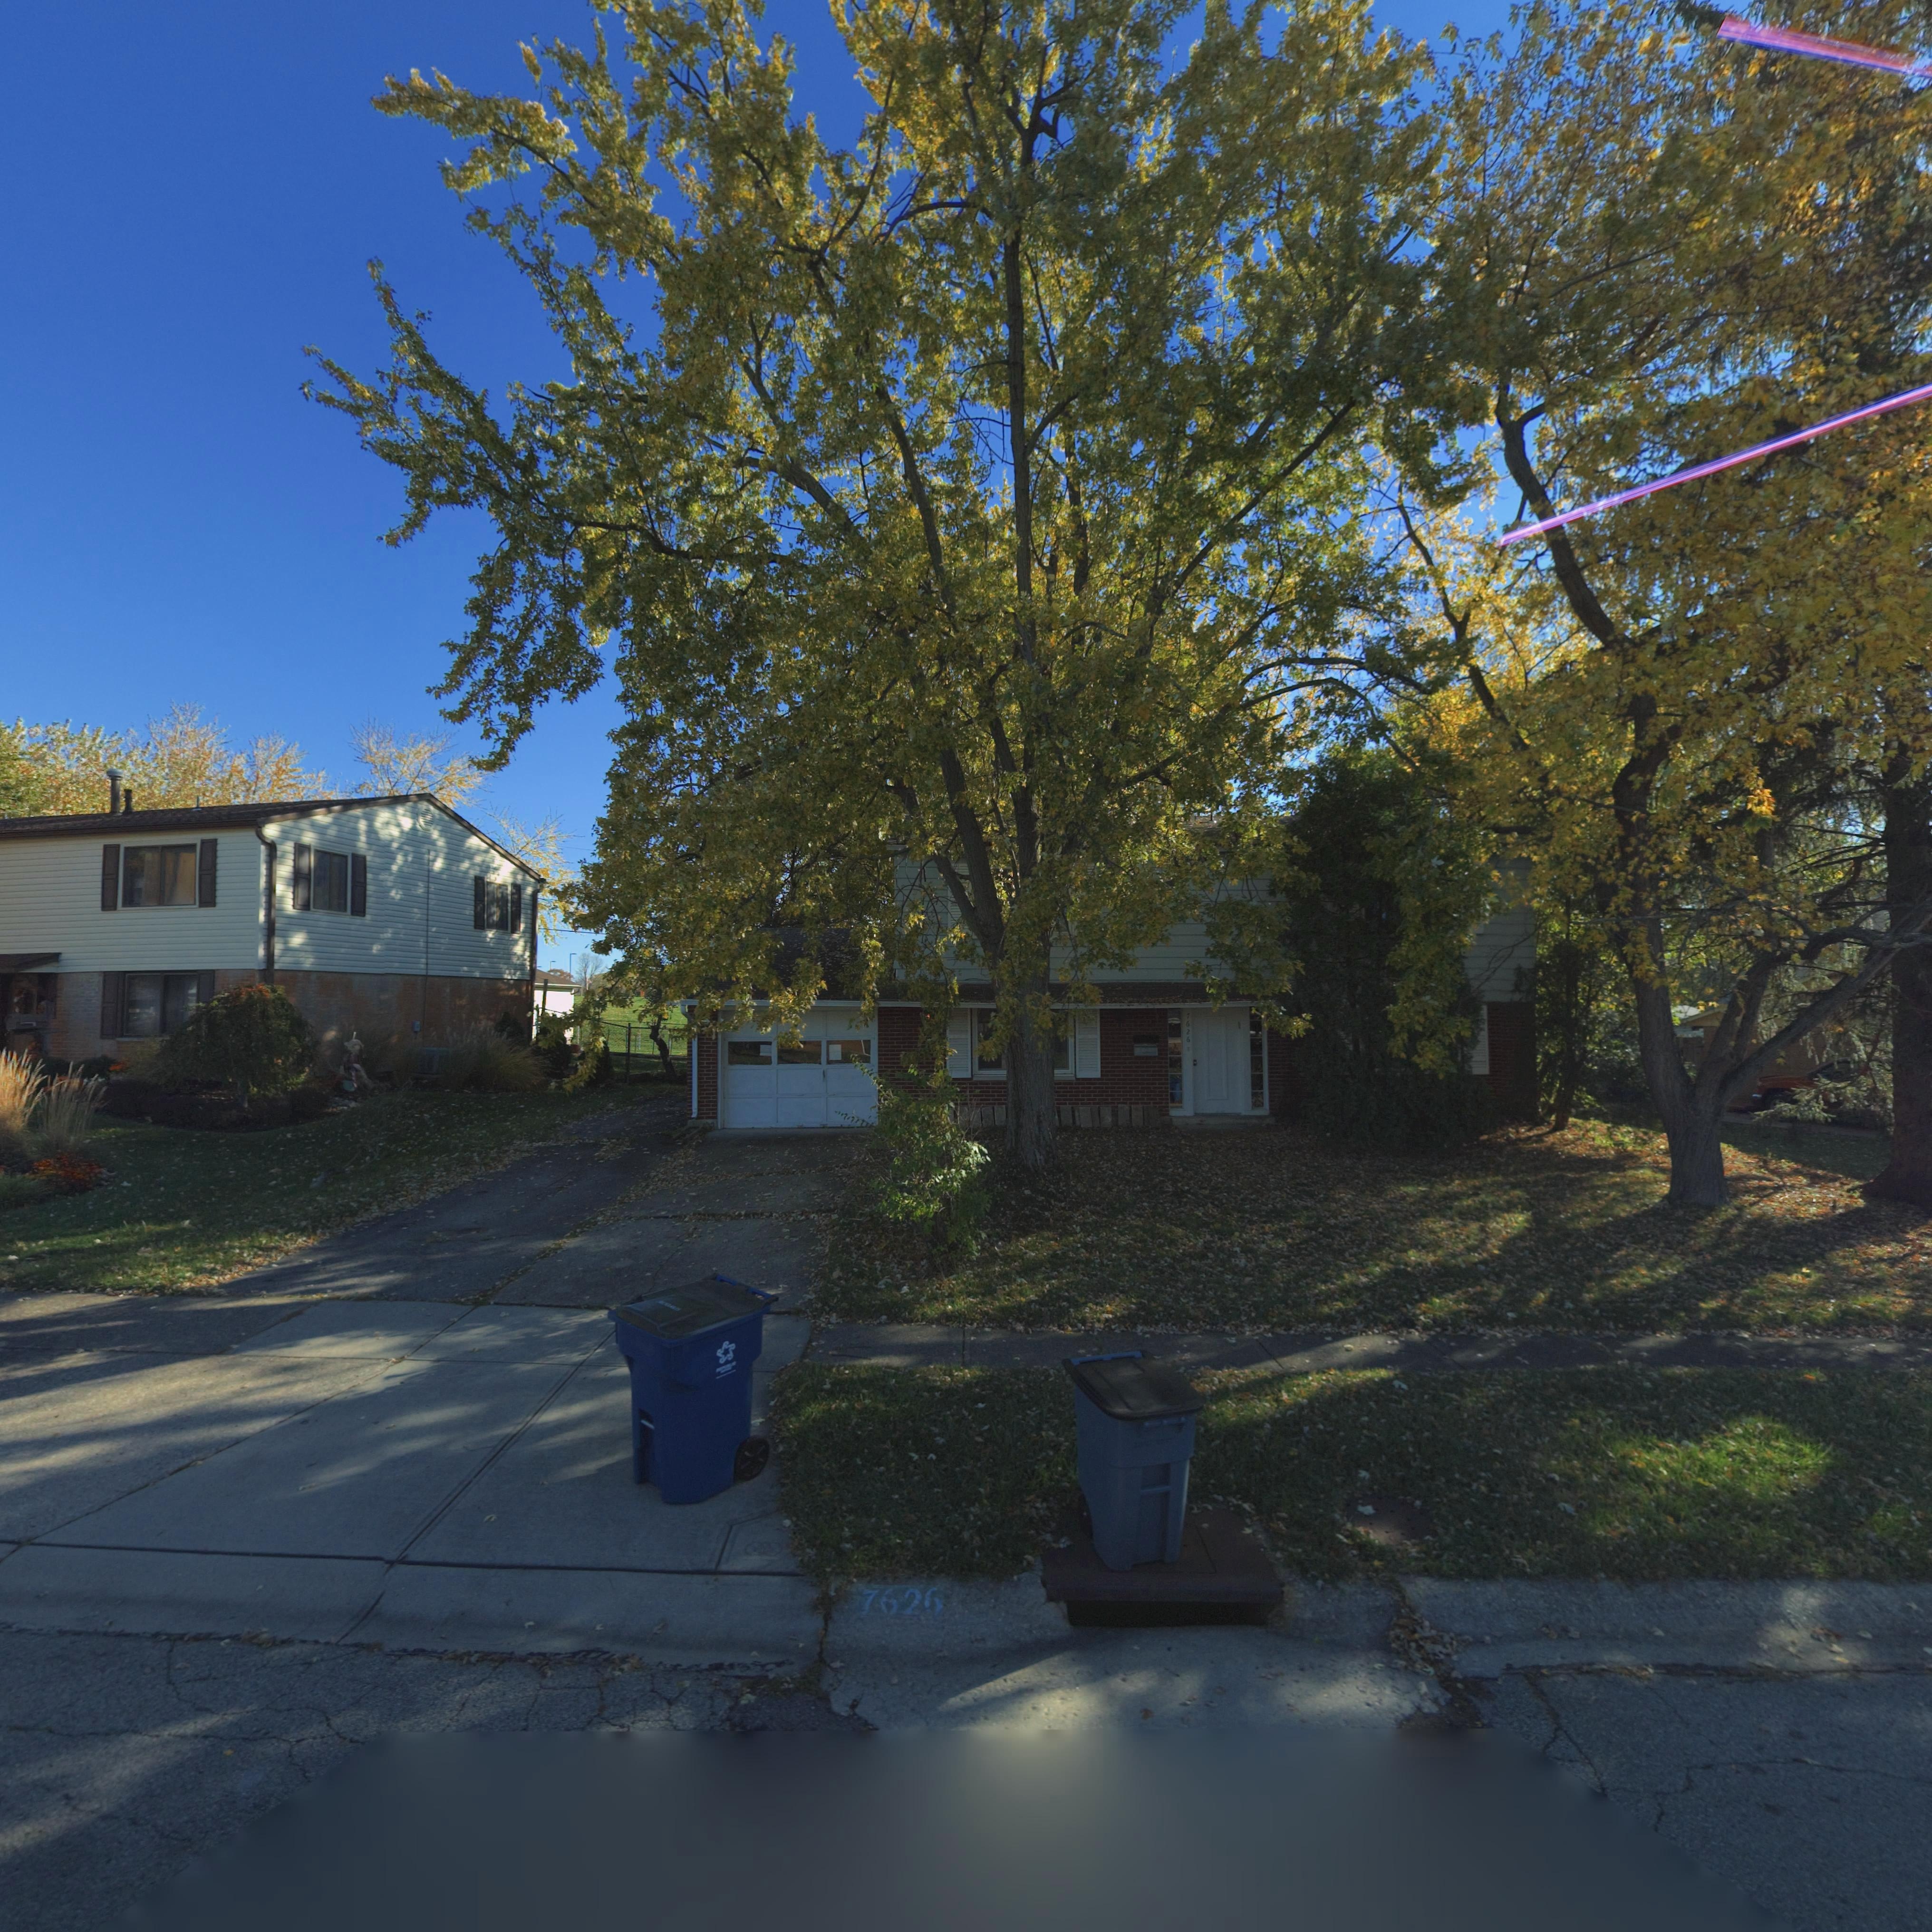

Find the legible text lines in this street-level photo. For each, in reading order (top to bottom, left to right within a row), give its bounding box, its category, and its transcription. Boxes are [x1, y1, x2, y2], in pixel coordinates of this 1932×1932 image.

[1185, 1012, 1191, 1043] StreetNumber: 7626
[859, 1586, 945, 1618] StreetNumber: 7626